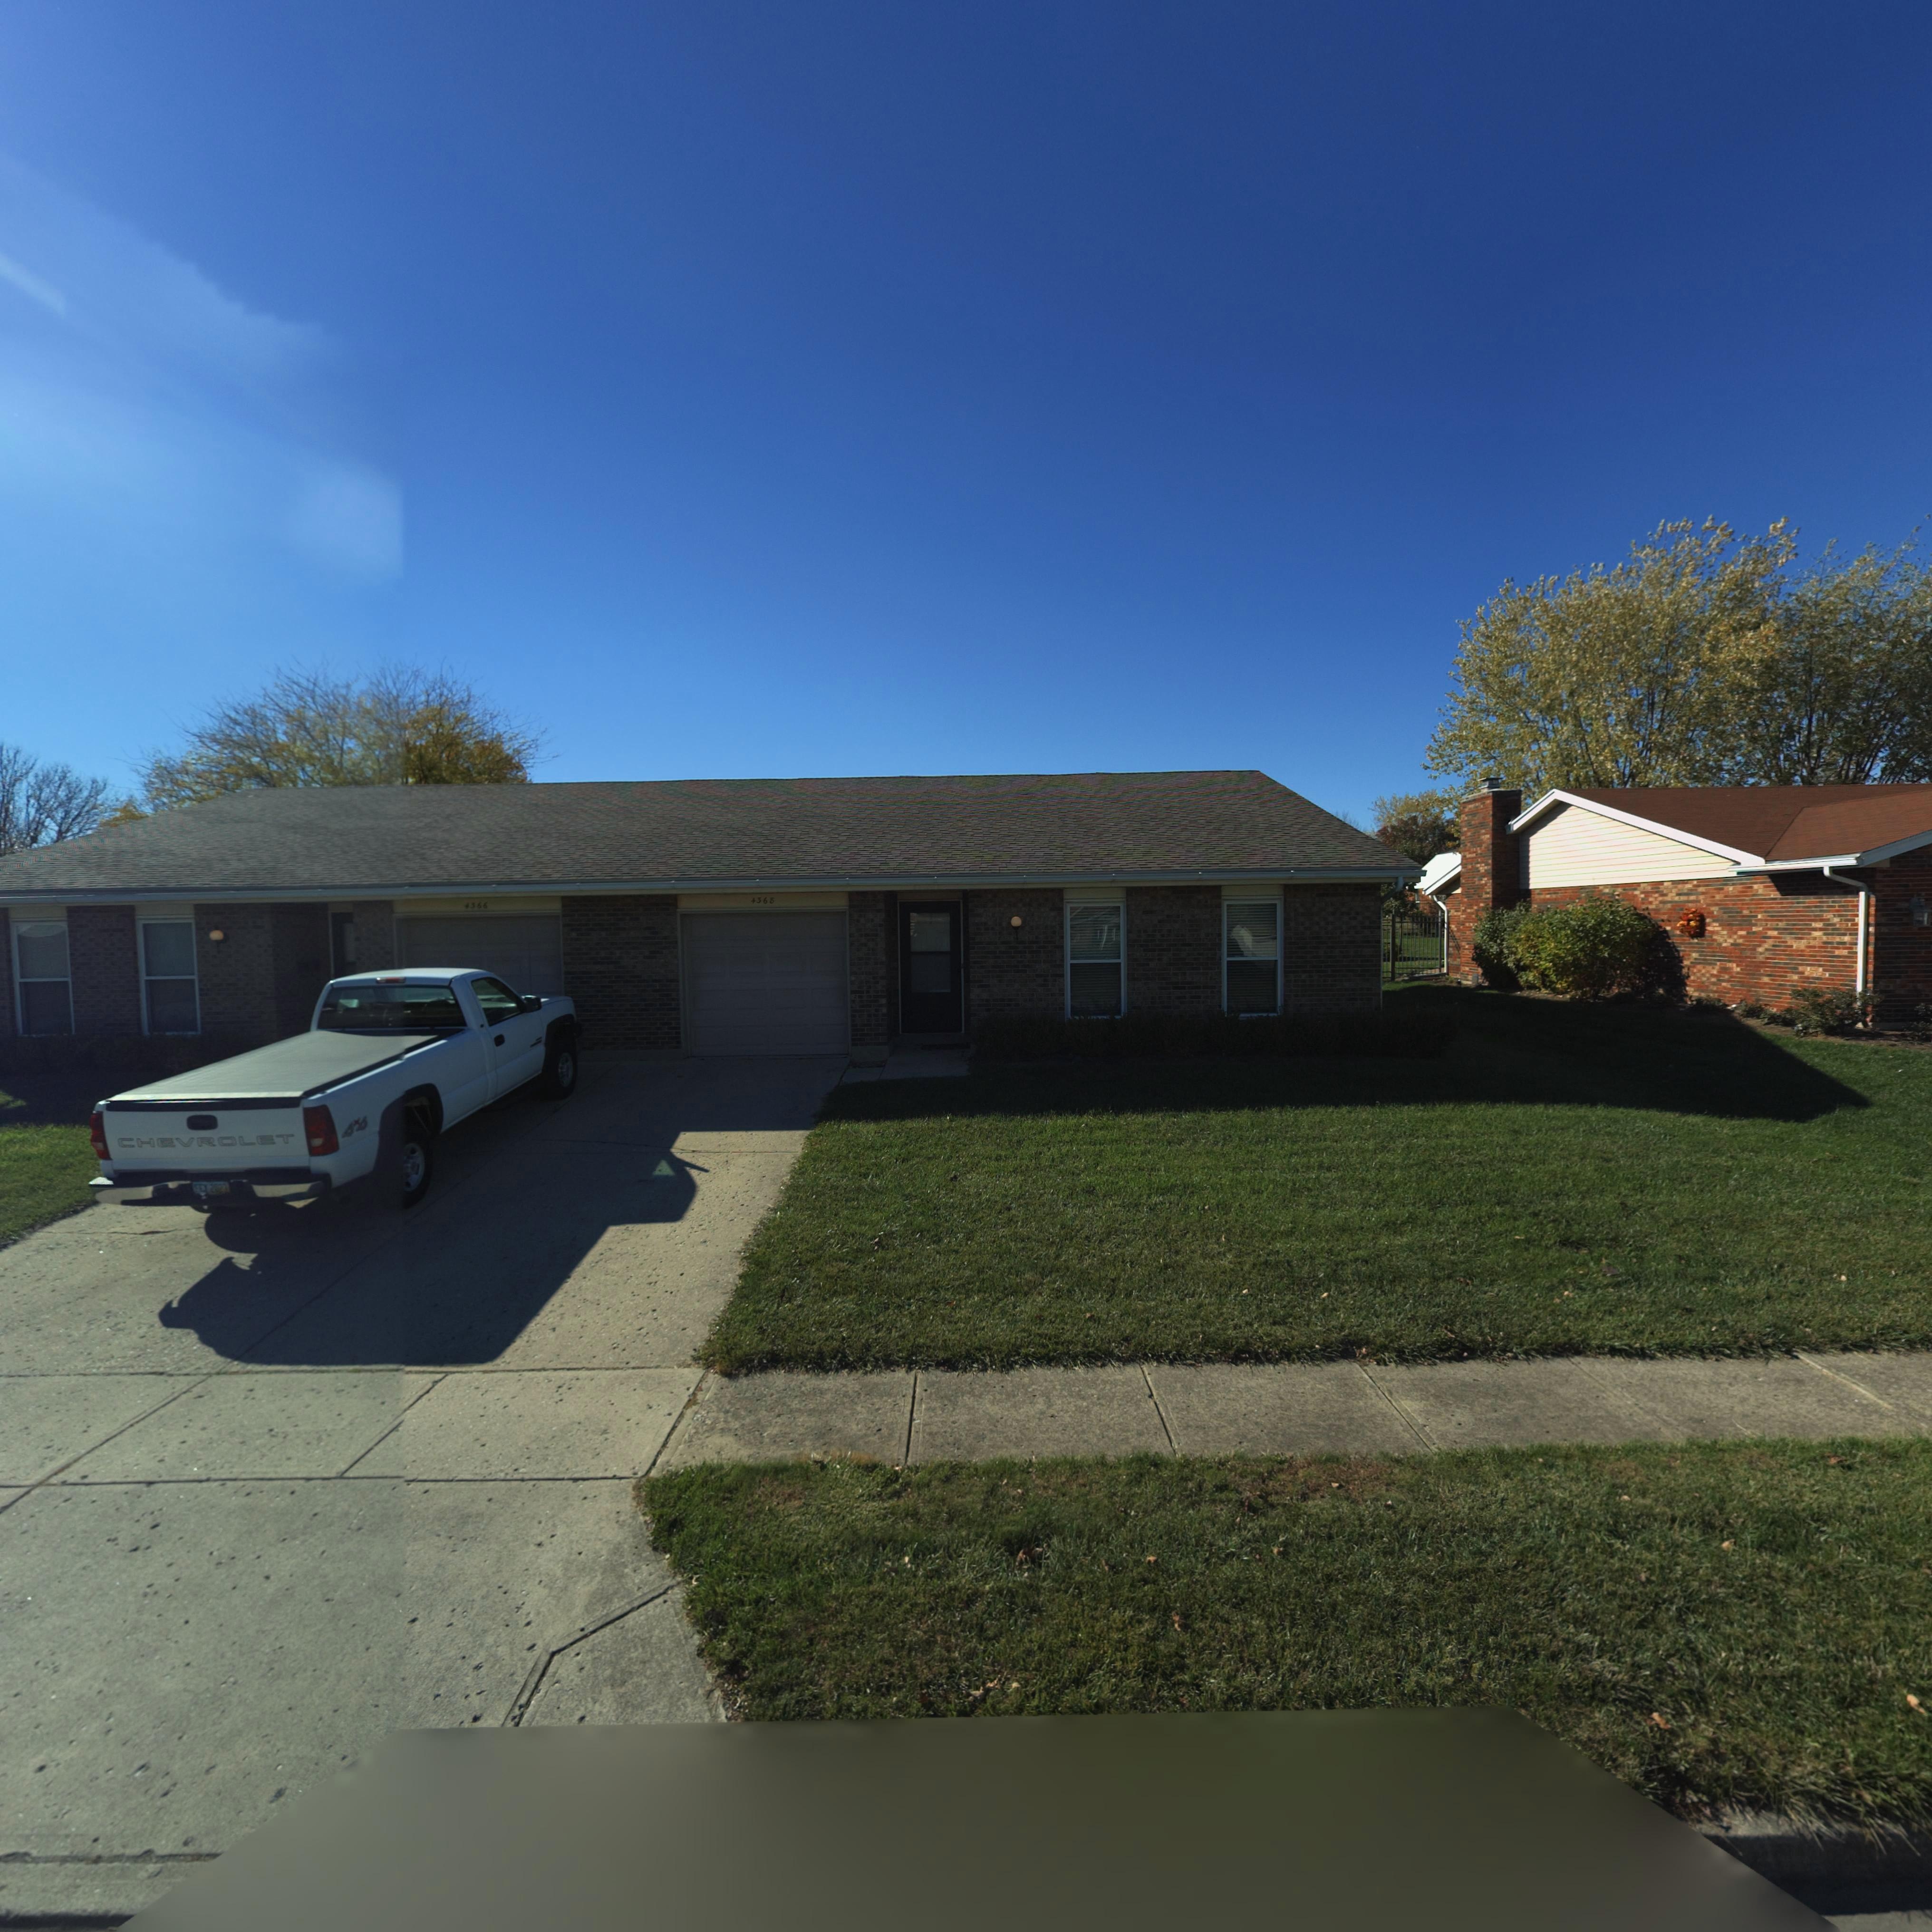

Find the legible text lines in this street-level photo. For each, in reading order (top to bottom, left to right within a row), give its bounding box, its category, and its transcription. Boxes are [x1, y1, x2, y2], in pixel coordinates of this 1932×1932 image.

[750, 896, 775, 904] StreetNumber: 4368
[464, 901, 489, 910] StreetNumber: 4366